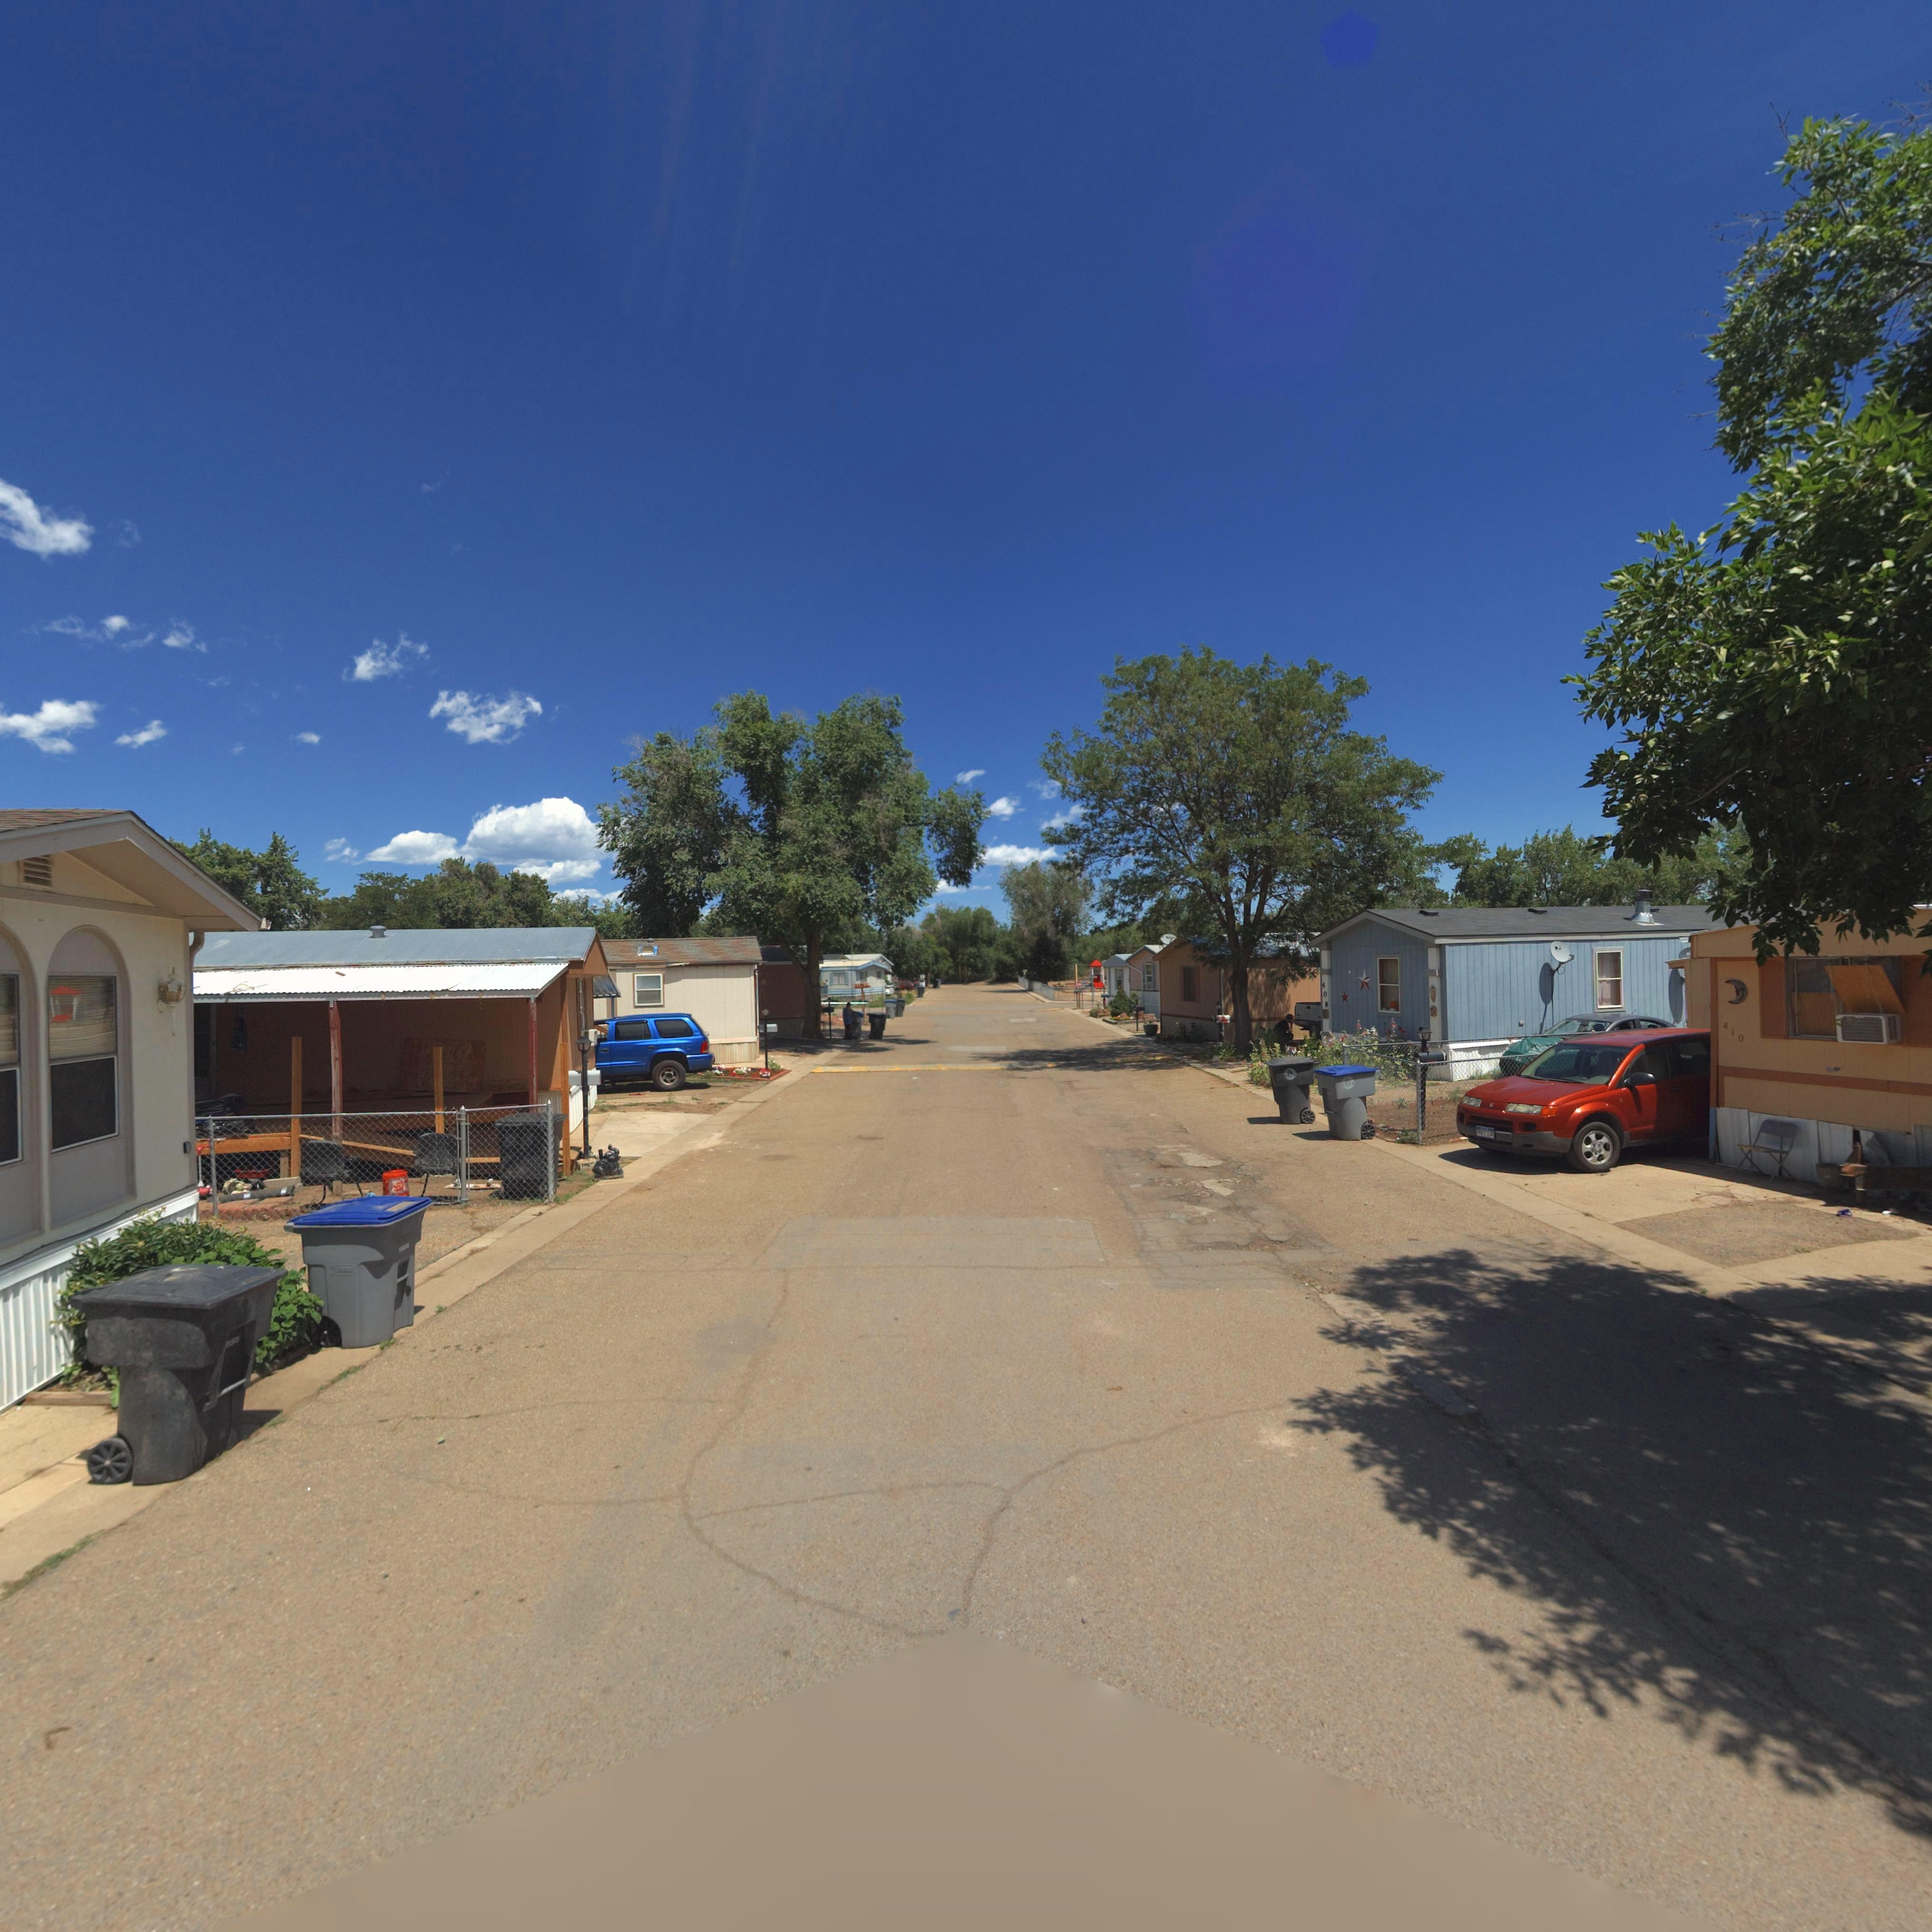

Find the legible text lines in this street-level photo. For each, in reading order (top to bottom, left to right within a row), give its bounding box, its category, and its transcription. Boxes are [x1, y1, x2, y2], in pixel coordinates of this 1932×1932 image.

[1321, 981, 1328, 1007] StreetNumber: 408
[1722, 1019, 1745, 1044] StreetNumber: 410